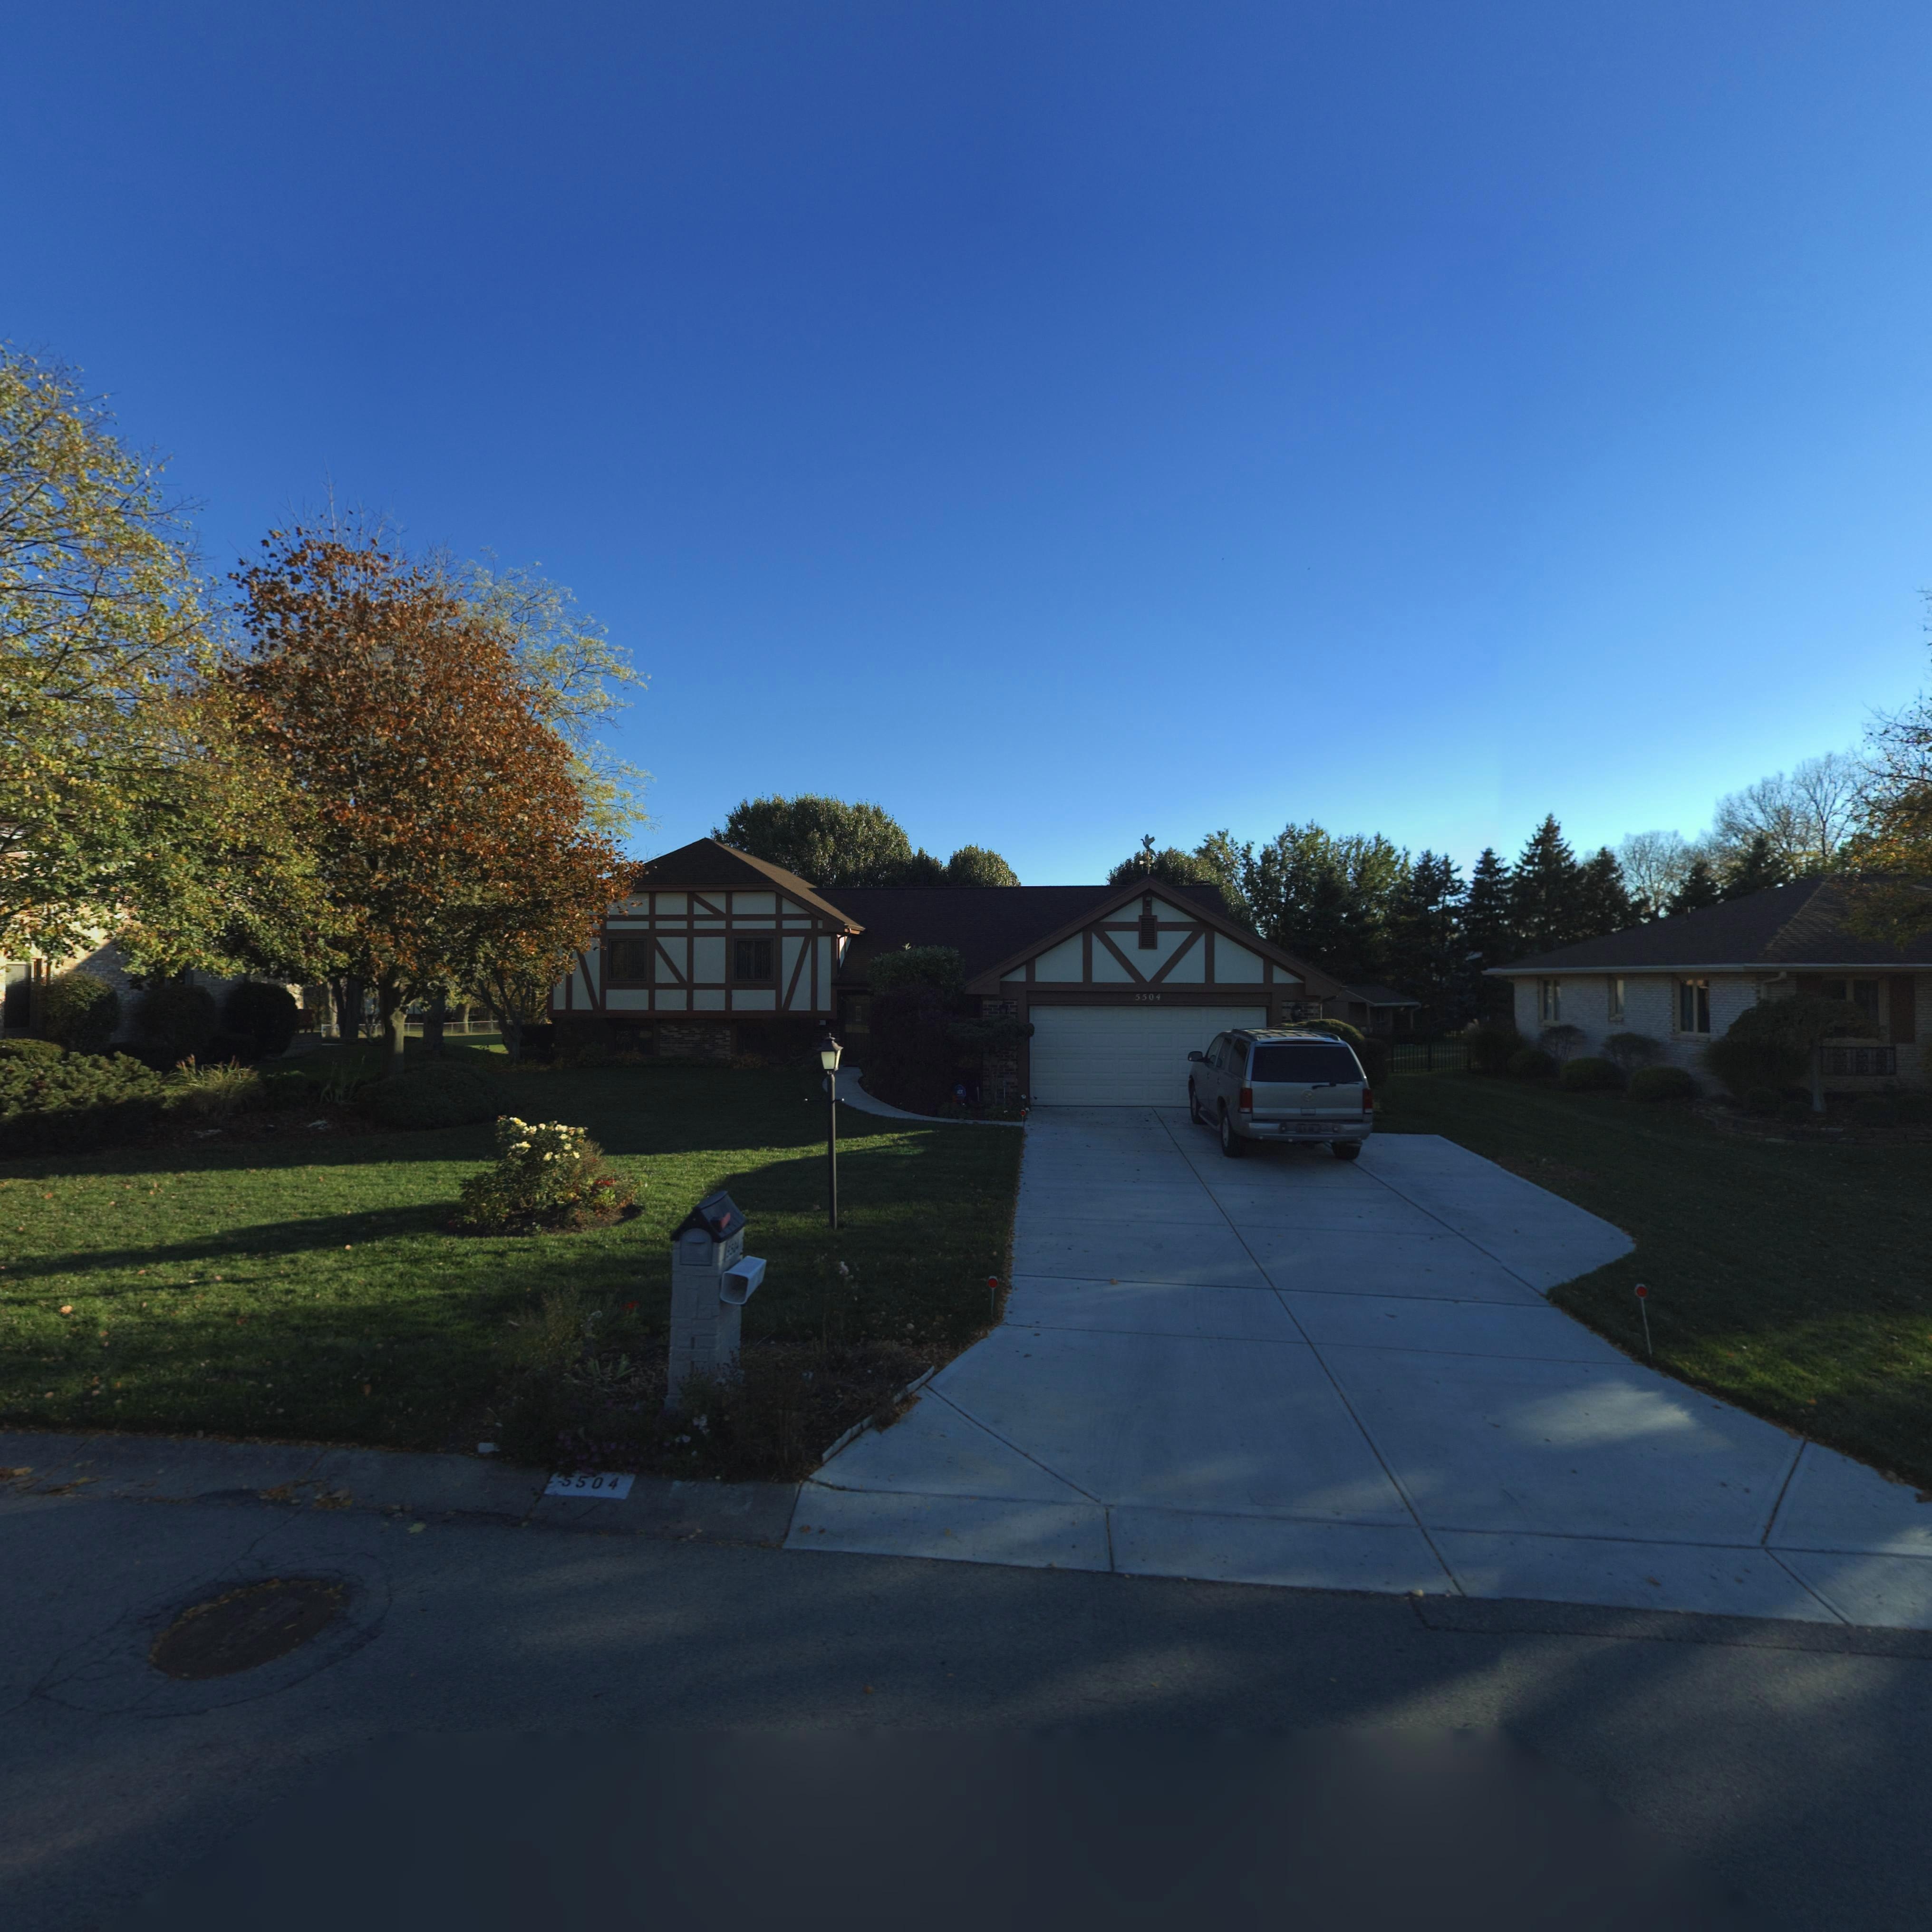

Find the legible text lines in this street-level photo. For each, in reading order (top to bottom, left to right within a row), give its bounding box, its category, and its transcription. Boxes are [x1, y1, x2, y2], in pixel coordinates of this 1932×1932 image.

[1134, 992, 1162, 1002] StreetNumber: 5504
[725, 1236, 740, 1260] StreetNumber: 55**
[560, 1473, 620, 1491] StreetNumber: 5504